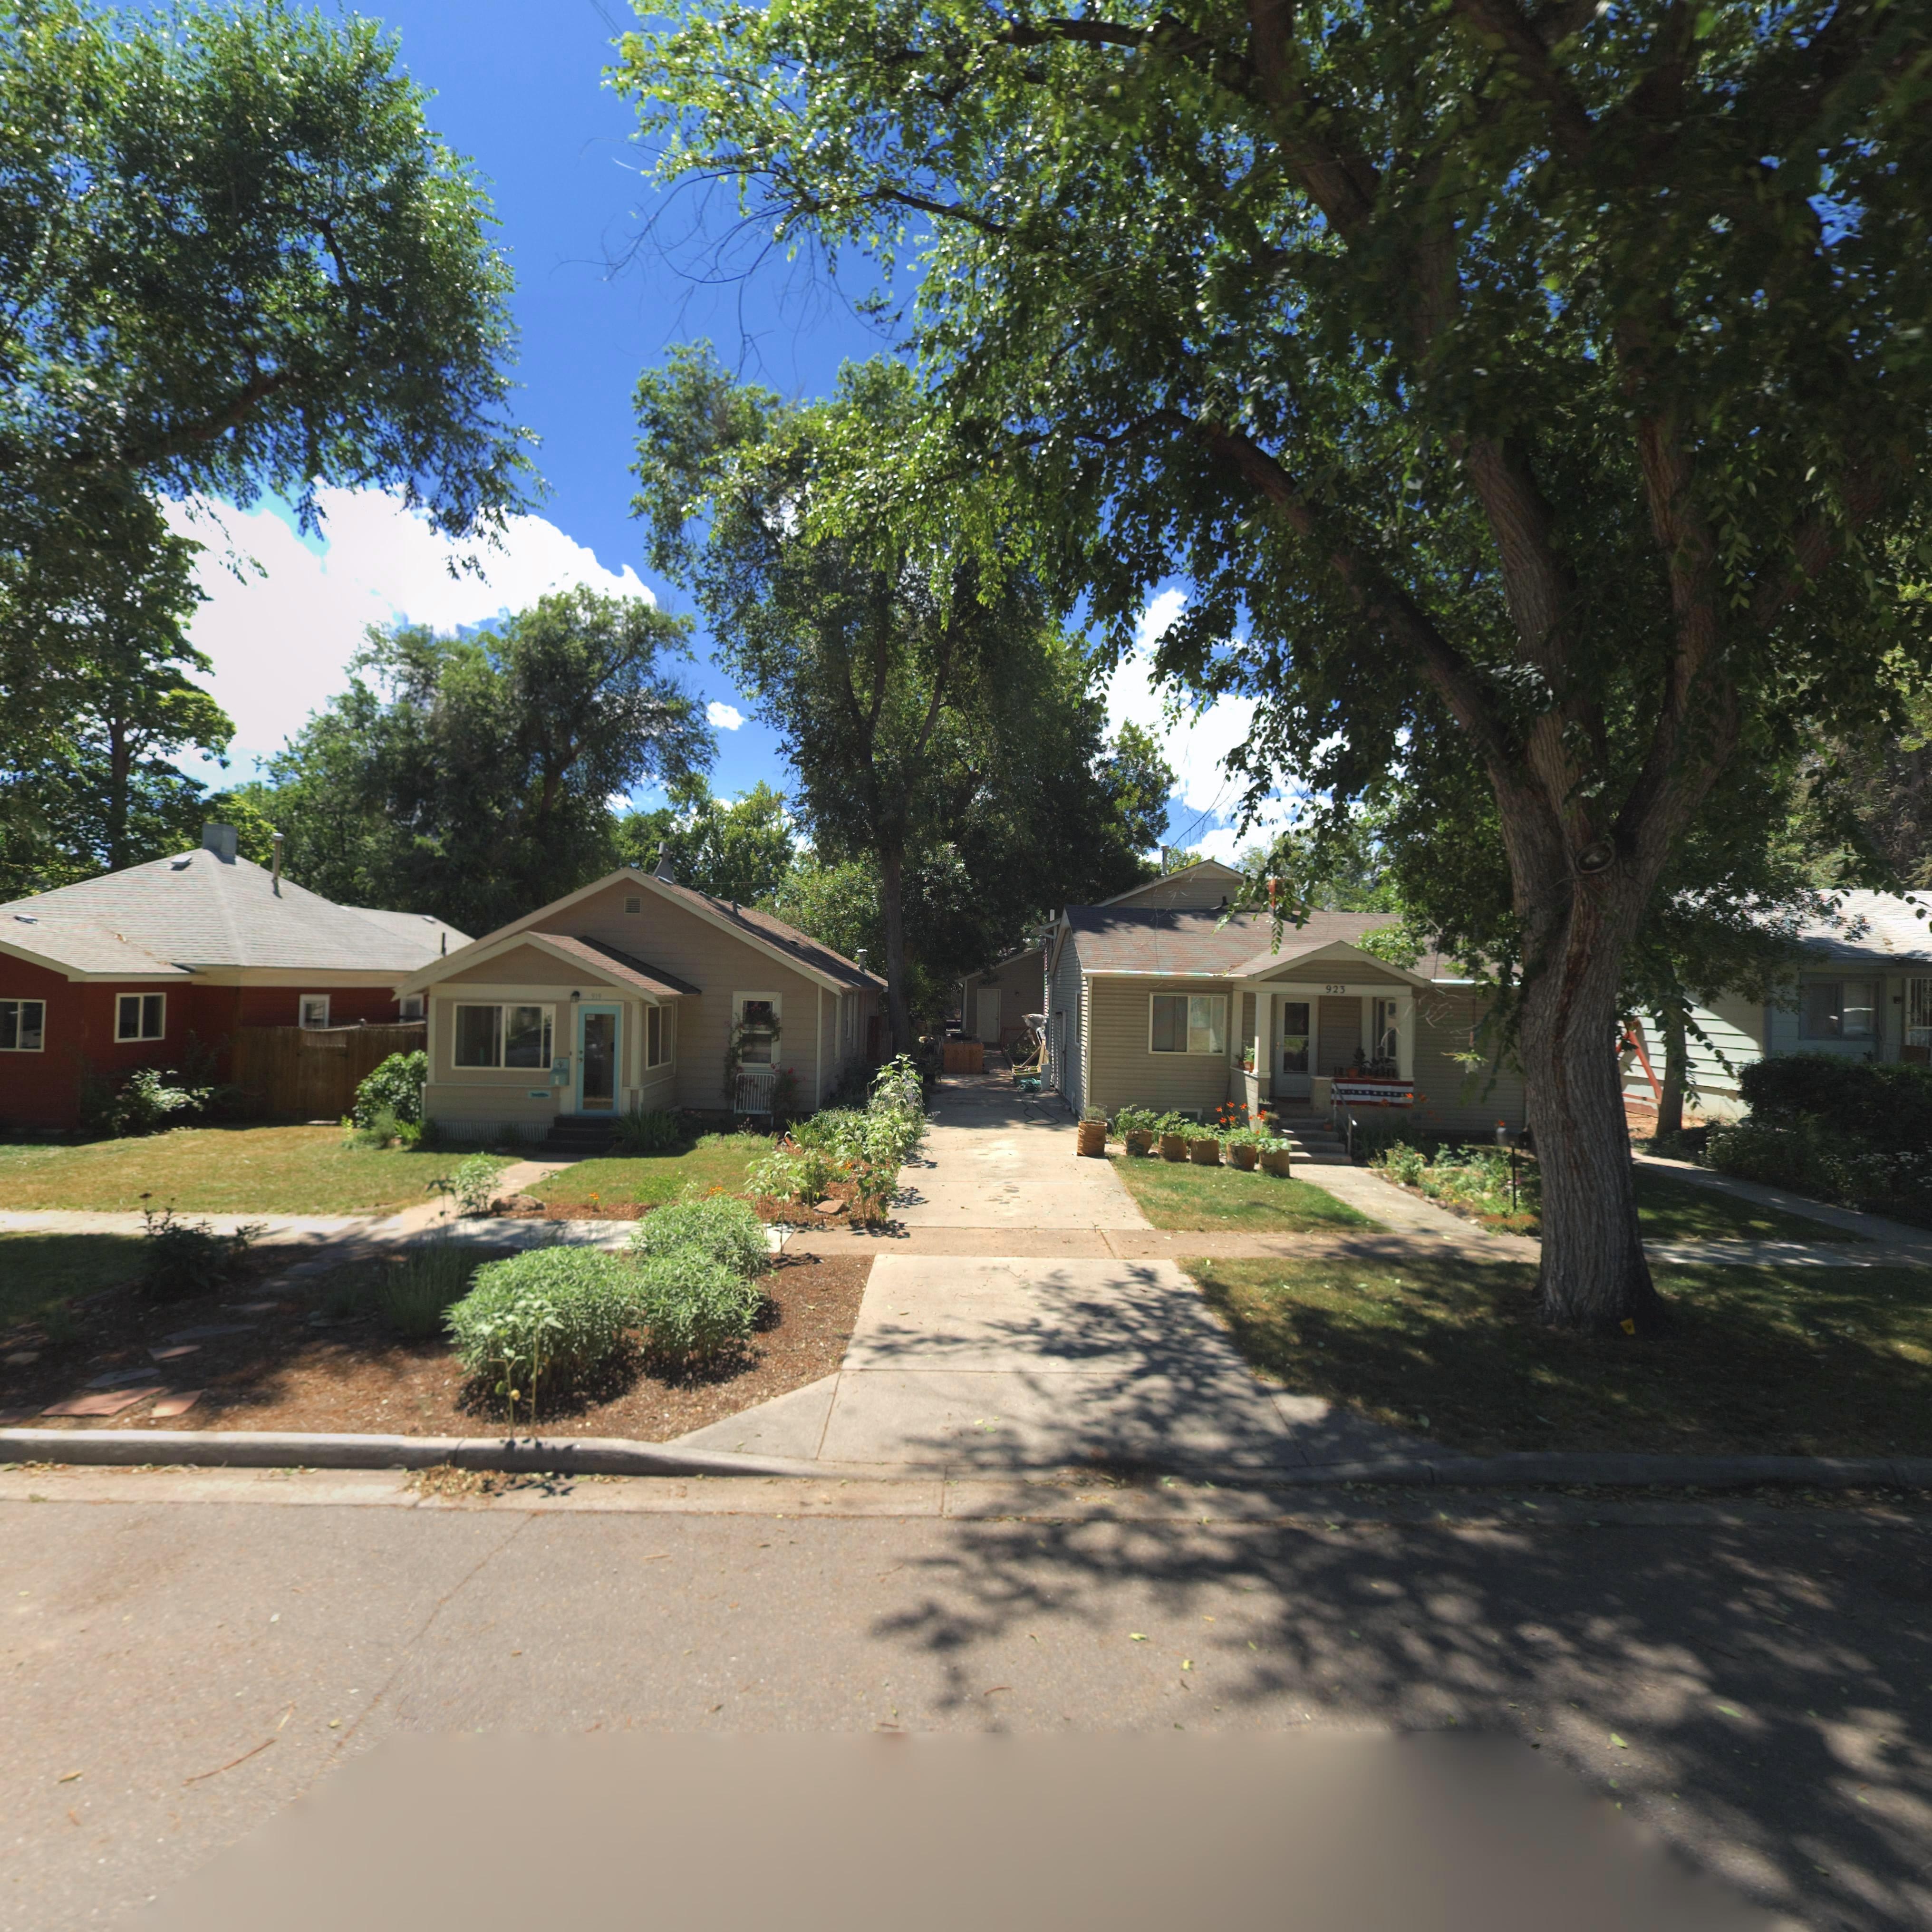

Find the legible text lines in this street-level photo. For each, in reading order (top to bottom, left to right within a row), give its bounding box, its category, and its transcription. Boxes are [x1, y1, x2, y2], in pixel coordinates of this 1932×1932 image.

[1326, 985, 1345, 994] StreetNumber: 923
[590, 992, 601, 1000] StreetNumber: 919